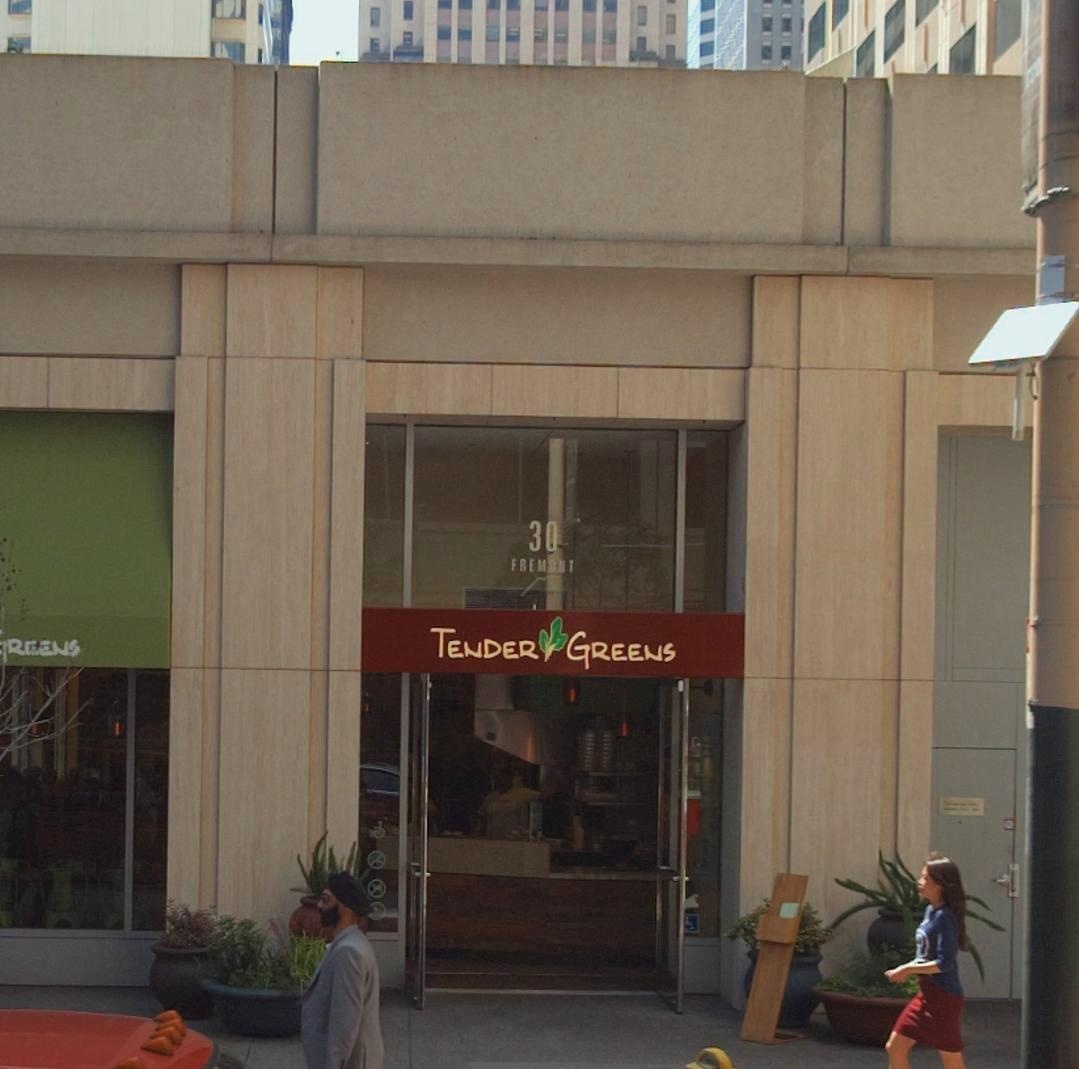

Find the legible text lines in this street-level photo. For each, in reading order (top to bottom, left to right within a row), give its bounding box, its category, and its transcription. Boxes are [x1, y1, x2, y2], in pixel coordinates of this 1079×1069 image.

[528, 519, 560, 554] StreetNumber: 30
[509, 554, 575, 575] StreetName: FREMONT
[5, 635, 80, 658] None: REENS
[427, 625, 677, 676] BusinessName: TENDER*GREENS